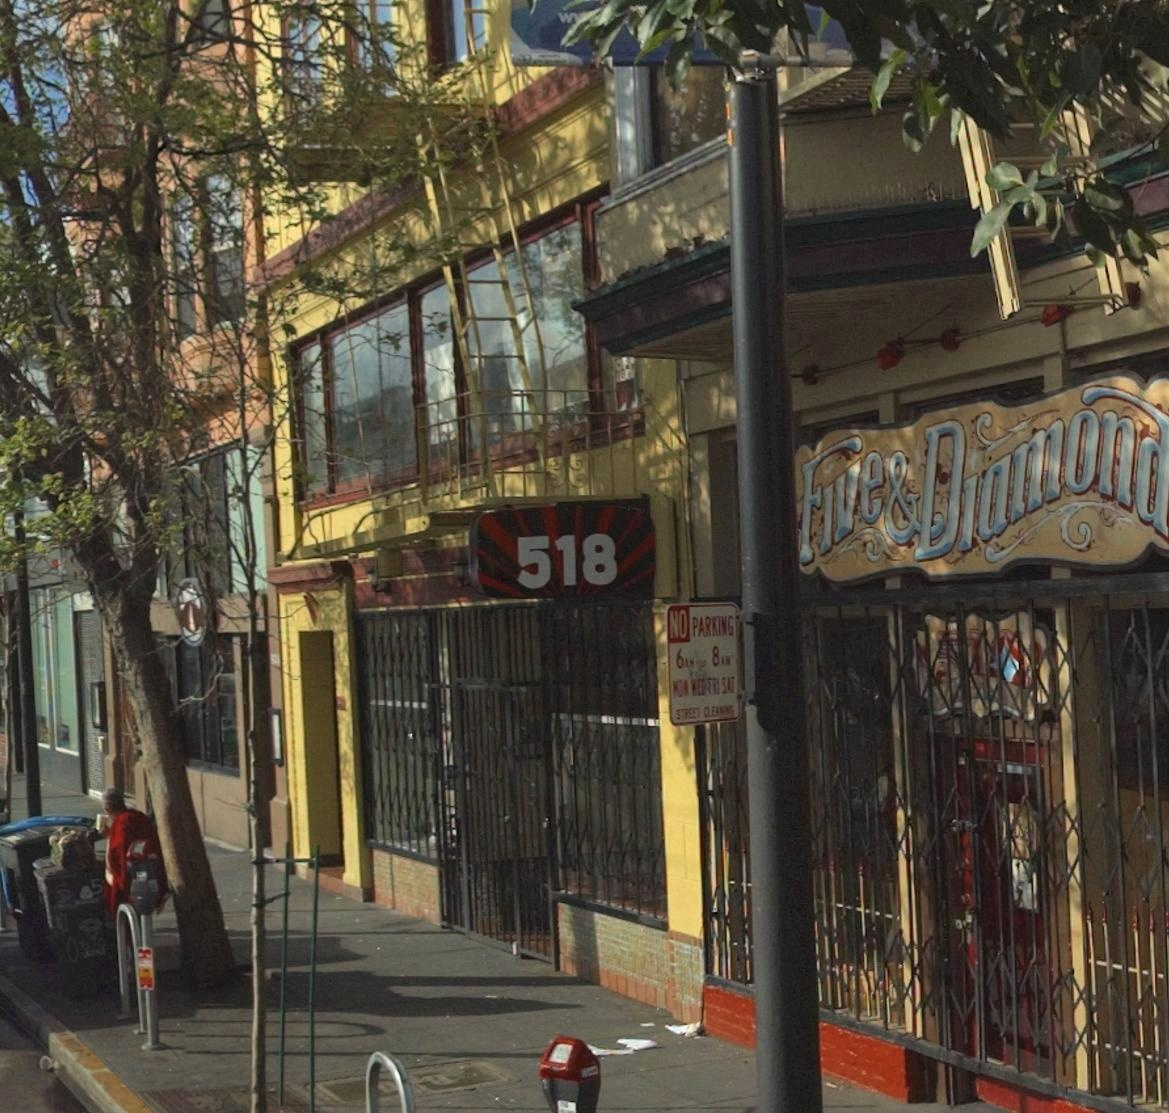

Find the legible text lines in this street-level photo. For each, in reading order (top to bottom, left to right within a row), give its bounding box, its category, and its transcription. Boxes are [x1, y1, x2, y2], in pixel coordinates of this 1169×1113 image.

[913, 406, 1138, 564] BusinessName: Diamon
[796, 430, 886, 572] BusinessName: Five
[515, 531, 619, 590] StreetNumber: 518
[668, 609, 737, 640] None: NO PARKING
[675, 647, 684, 670] None: 6
[710, 645, 720, 668] None: 8
[720, 674, 736, 696] None: SAT
[675, 706, 701, 721] None: STREET